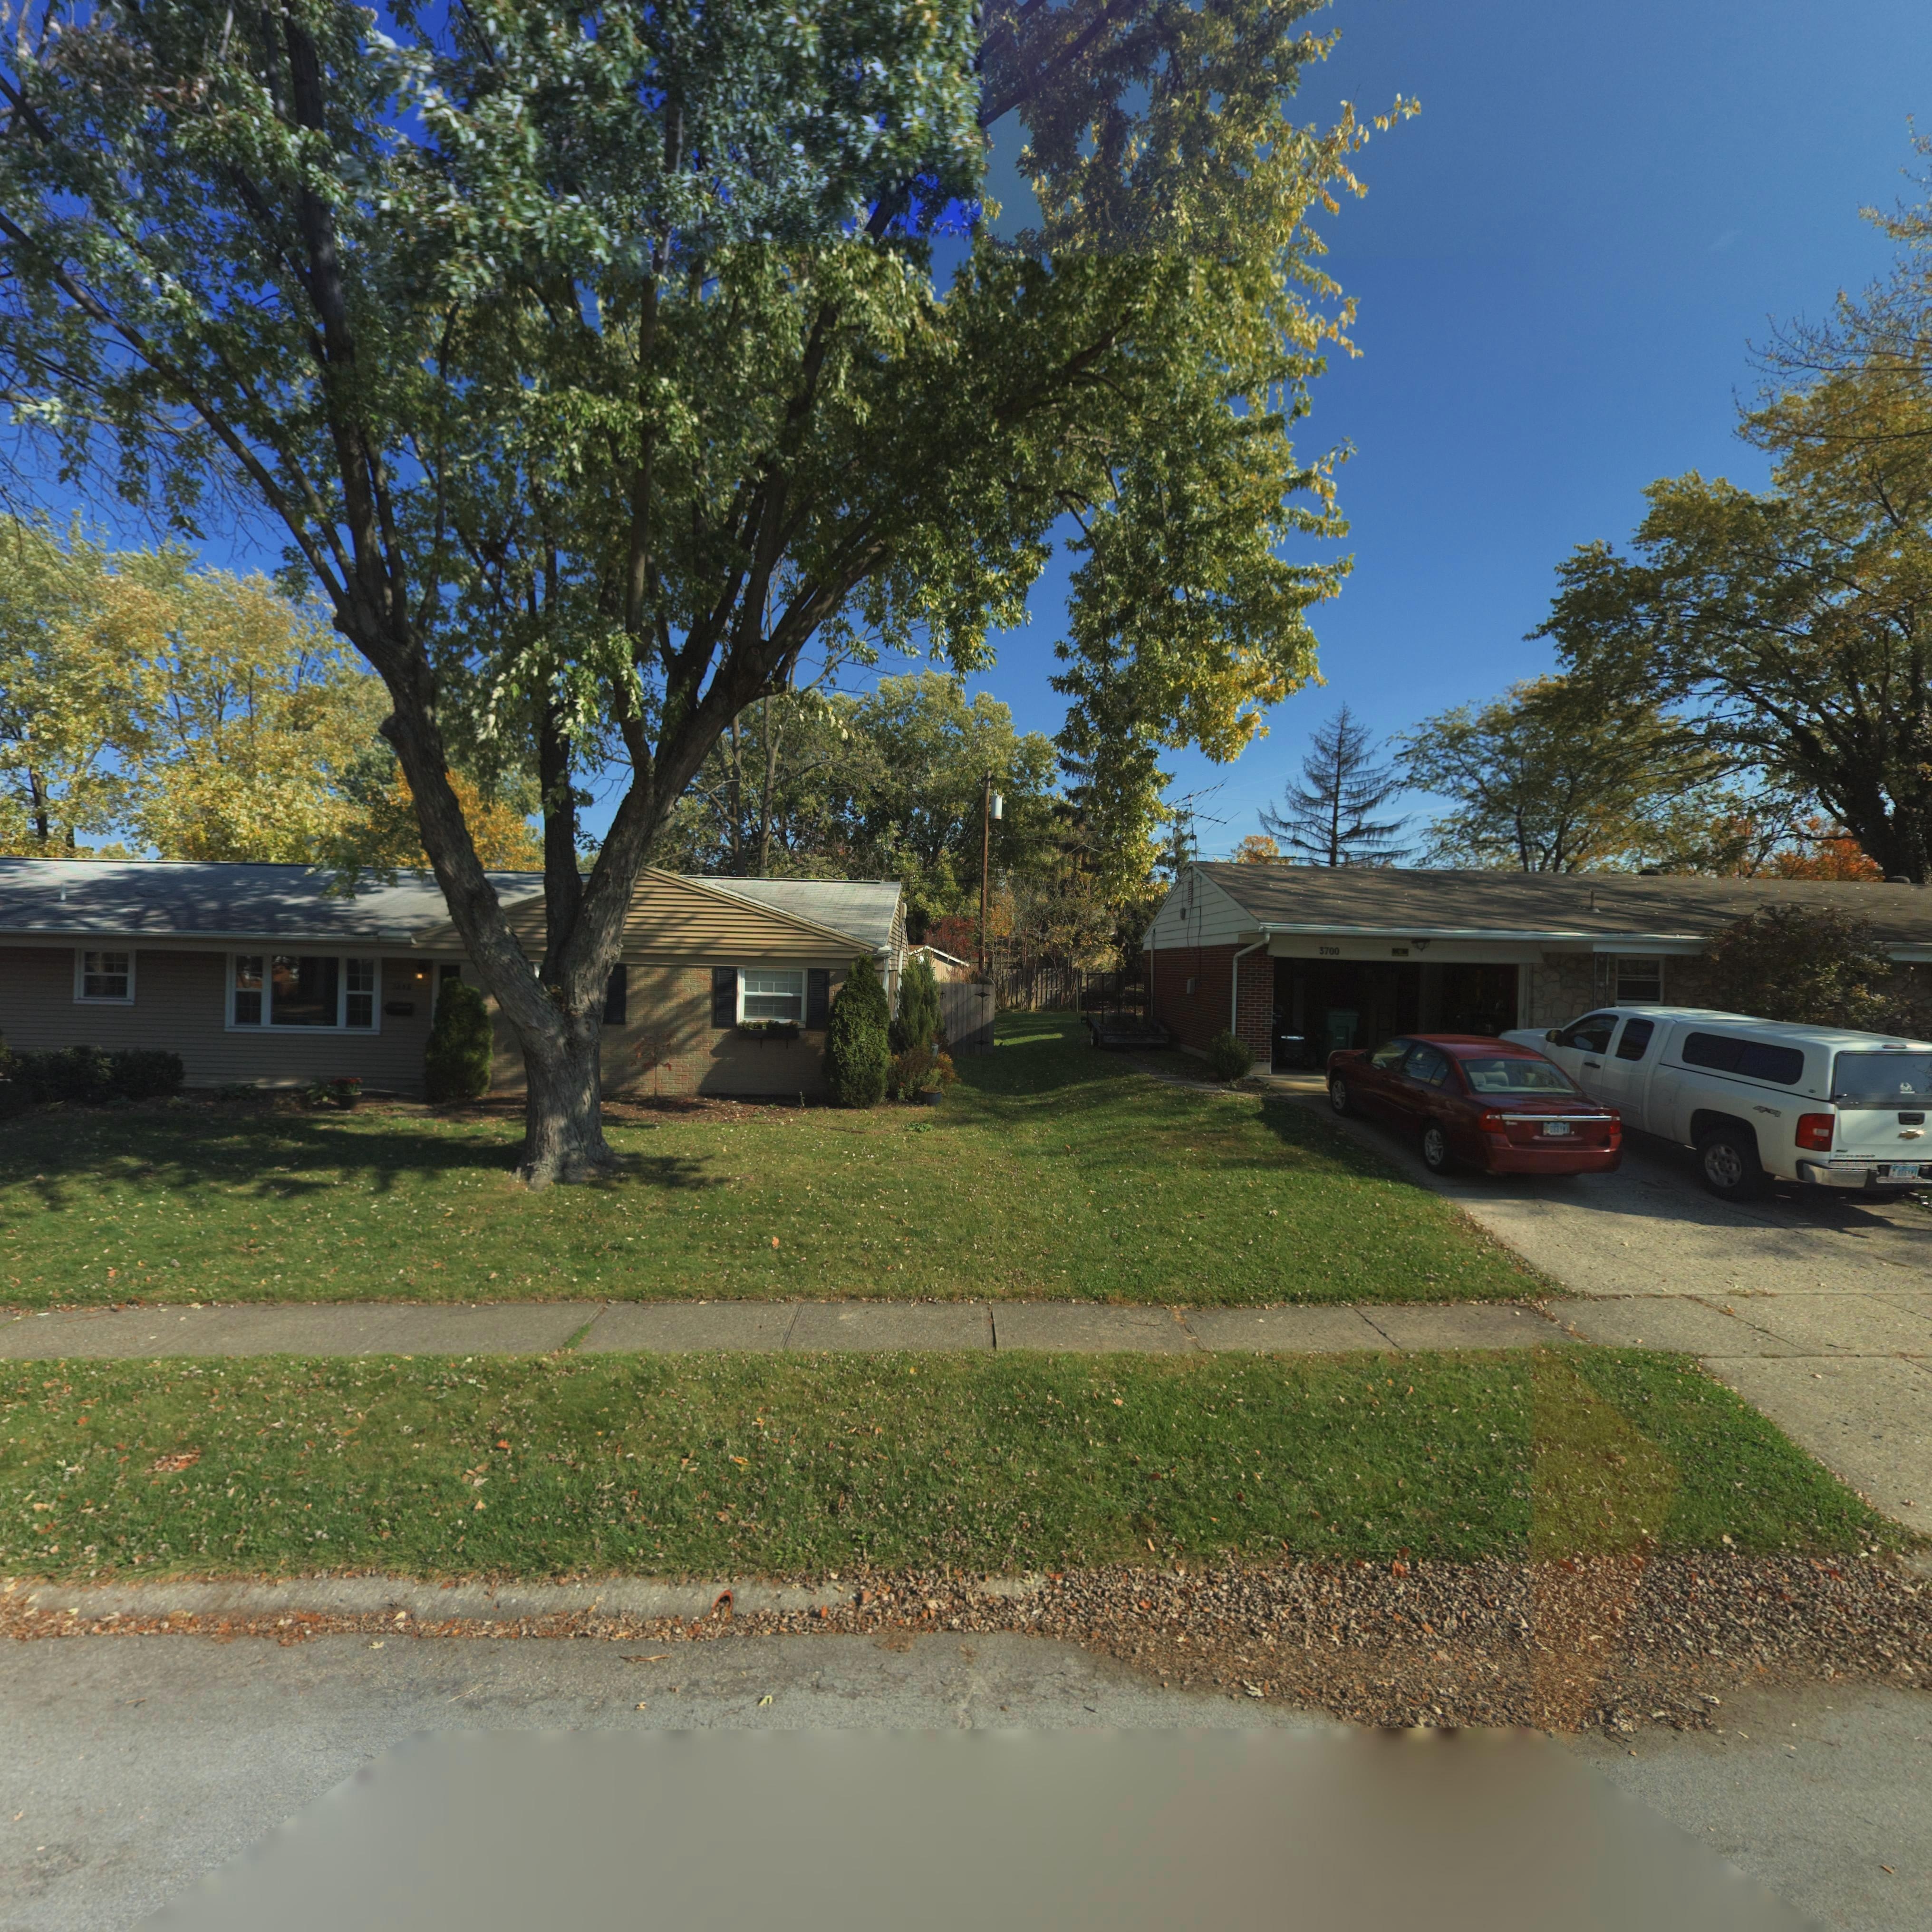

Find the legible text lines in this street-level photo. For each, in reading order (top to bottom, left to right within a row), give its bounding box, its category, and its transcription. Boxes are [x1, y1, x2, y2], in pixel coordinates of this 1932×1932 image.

[1317, 946, 1341, 956] StreetNumber: 3700